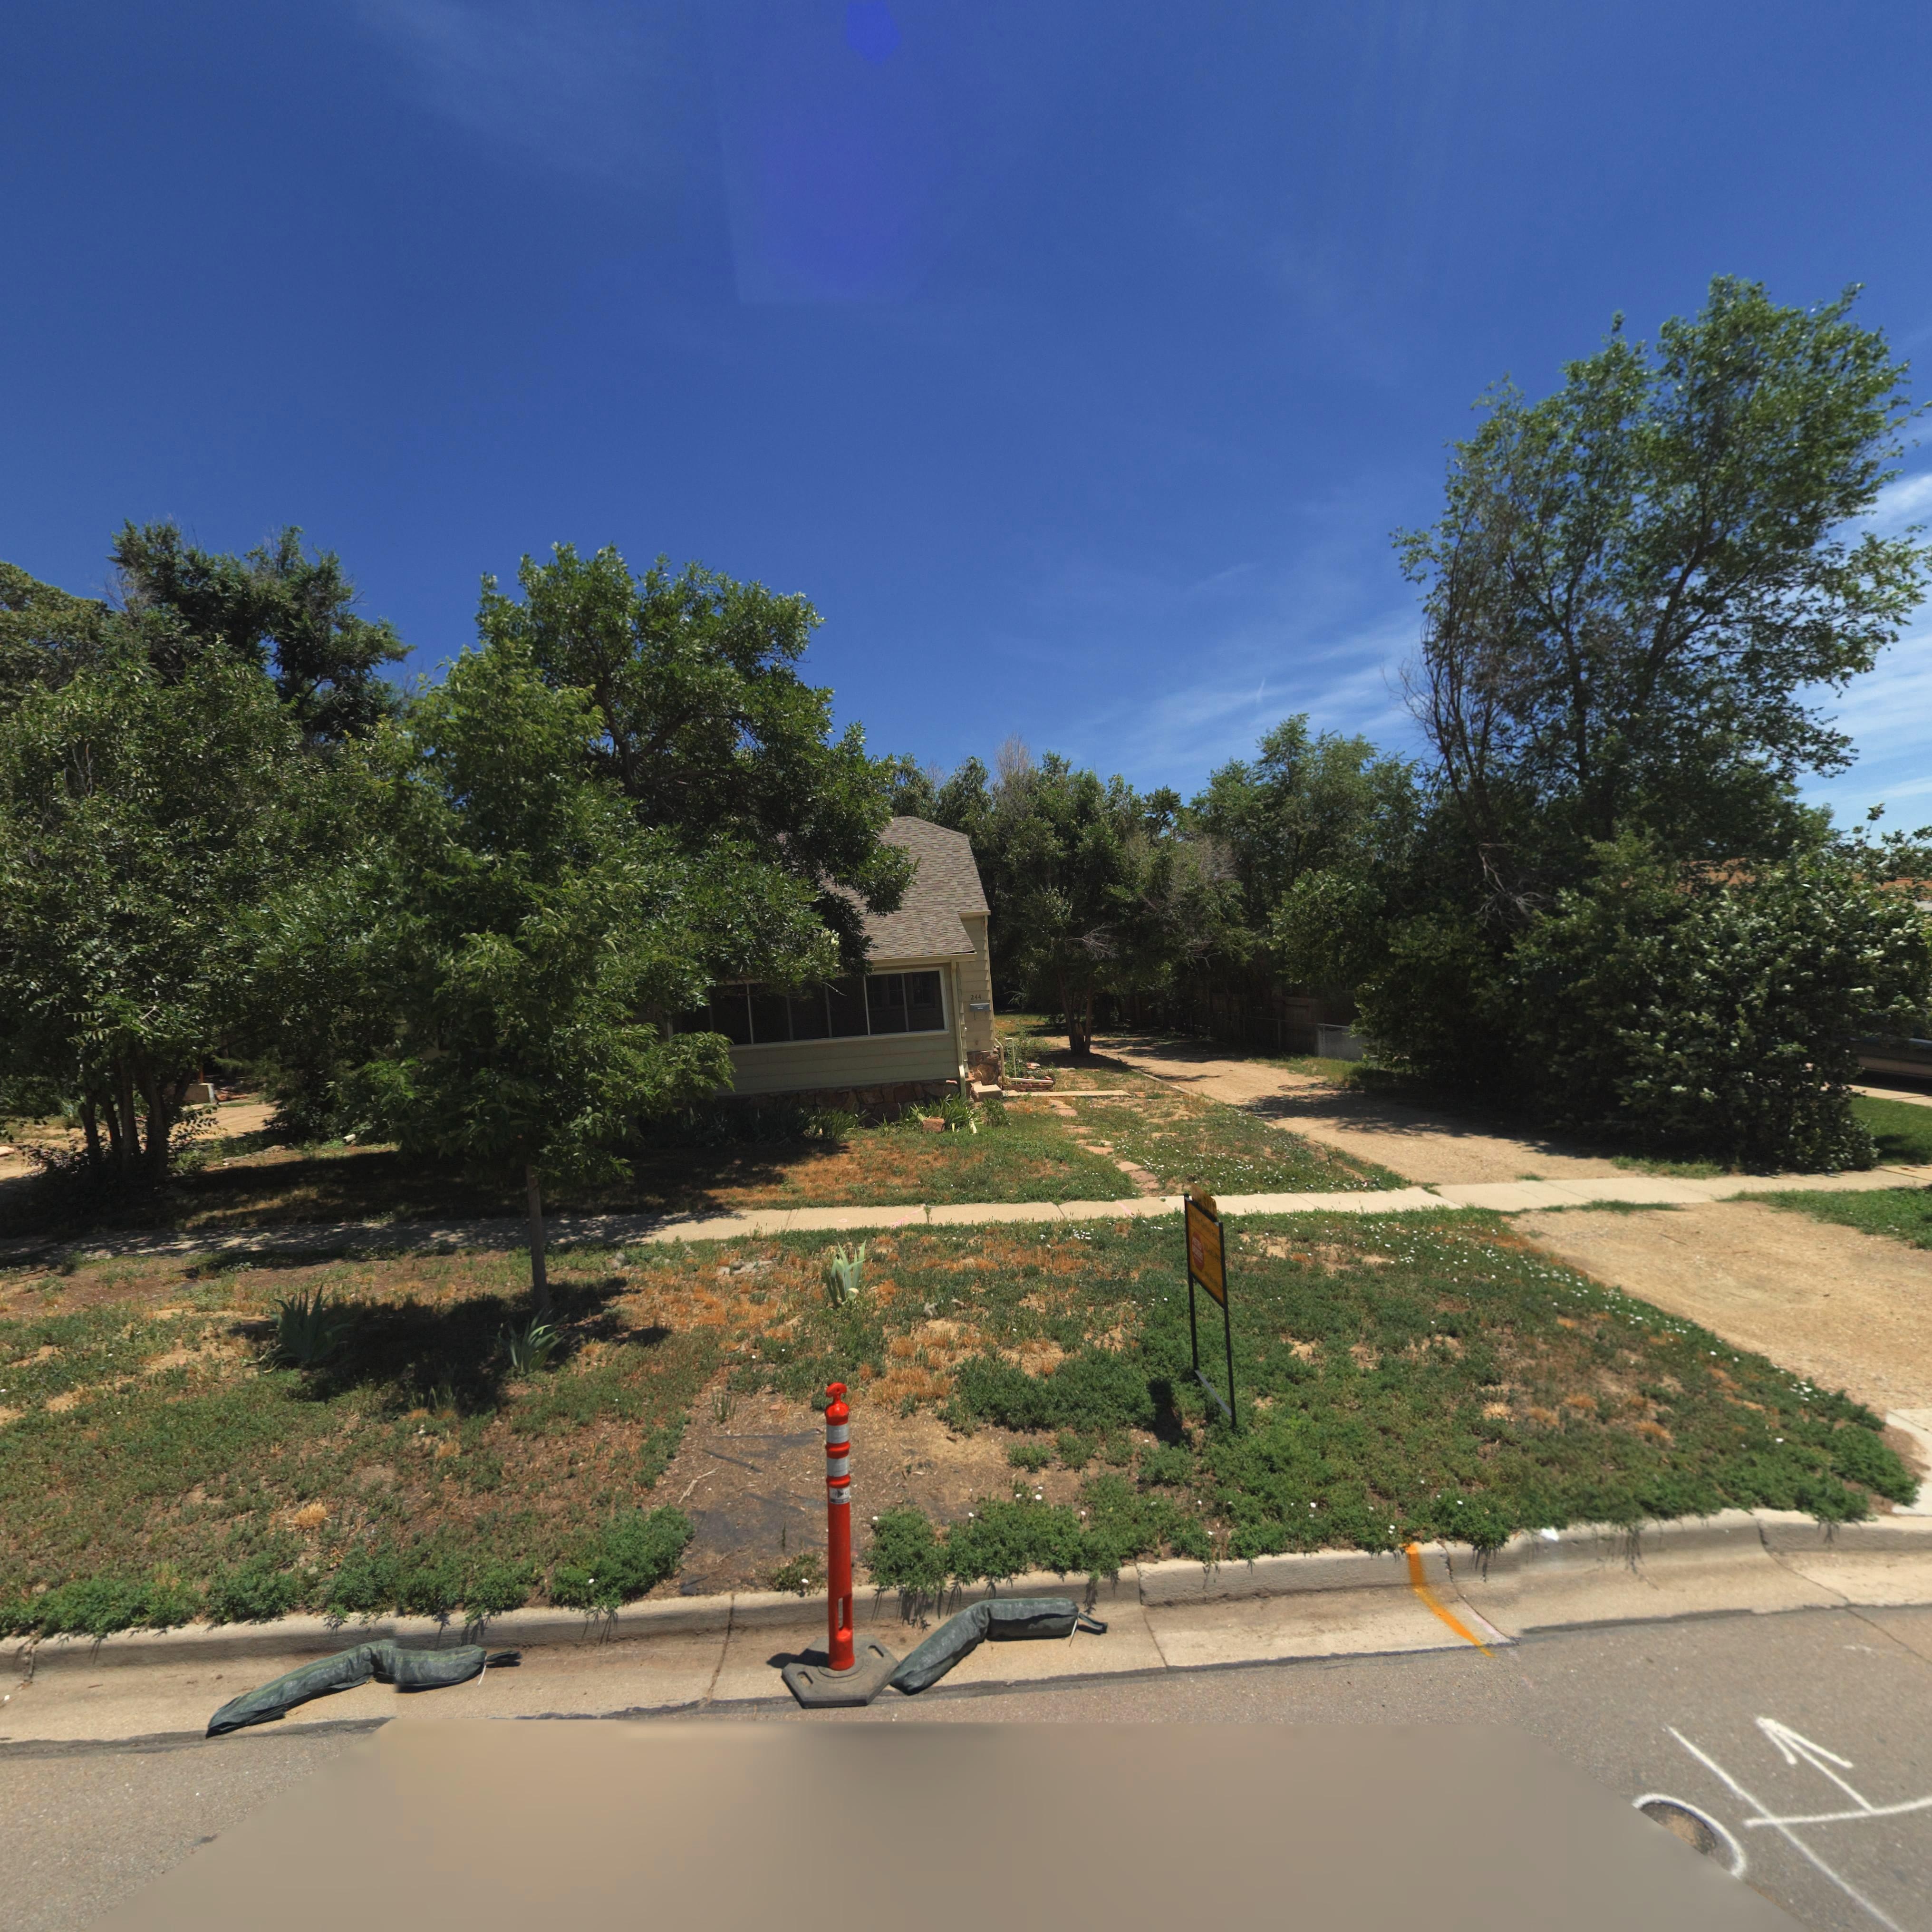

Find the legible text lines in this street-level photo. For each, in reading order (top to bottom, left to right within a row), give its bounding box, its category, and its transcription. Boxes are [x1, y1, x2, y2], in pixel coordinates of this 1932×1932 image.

[971, 994, 981, 1000] StreetNumber: 244